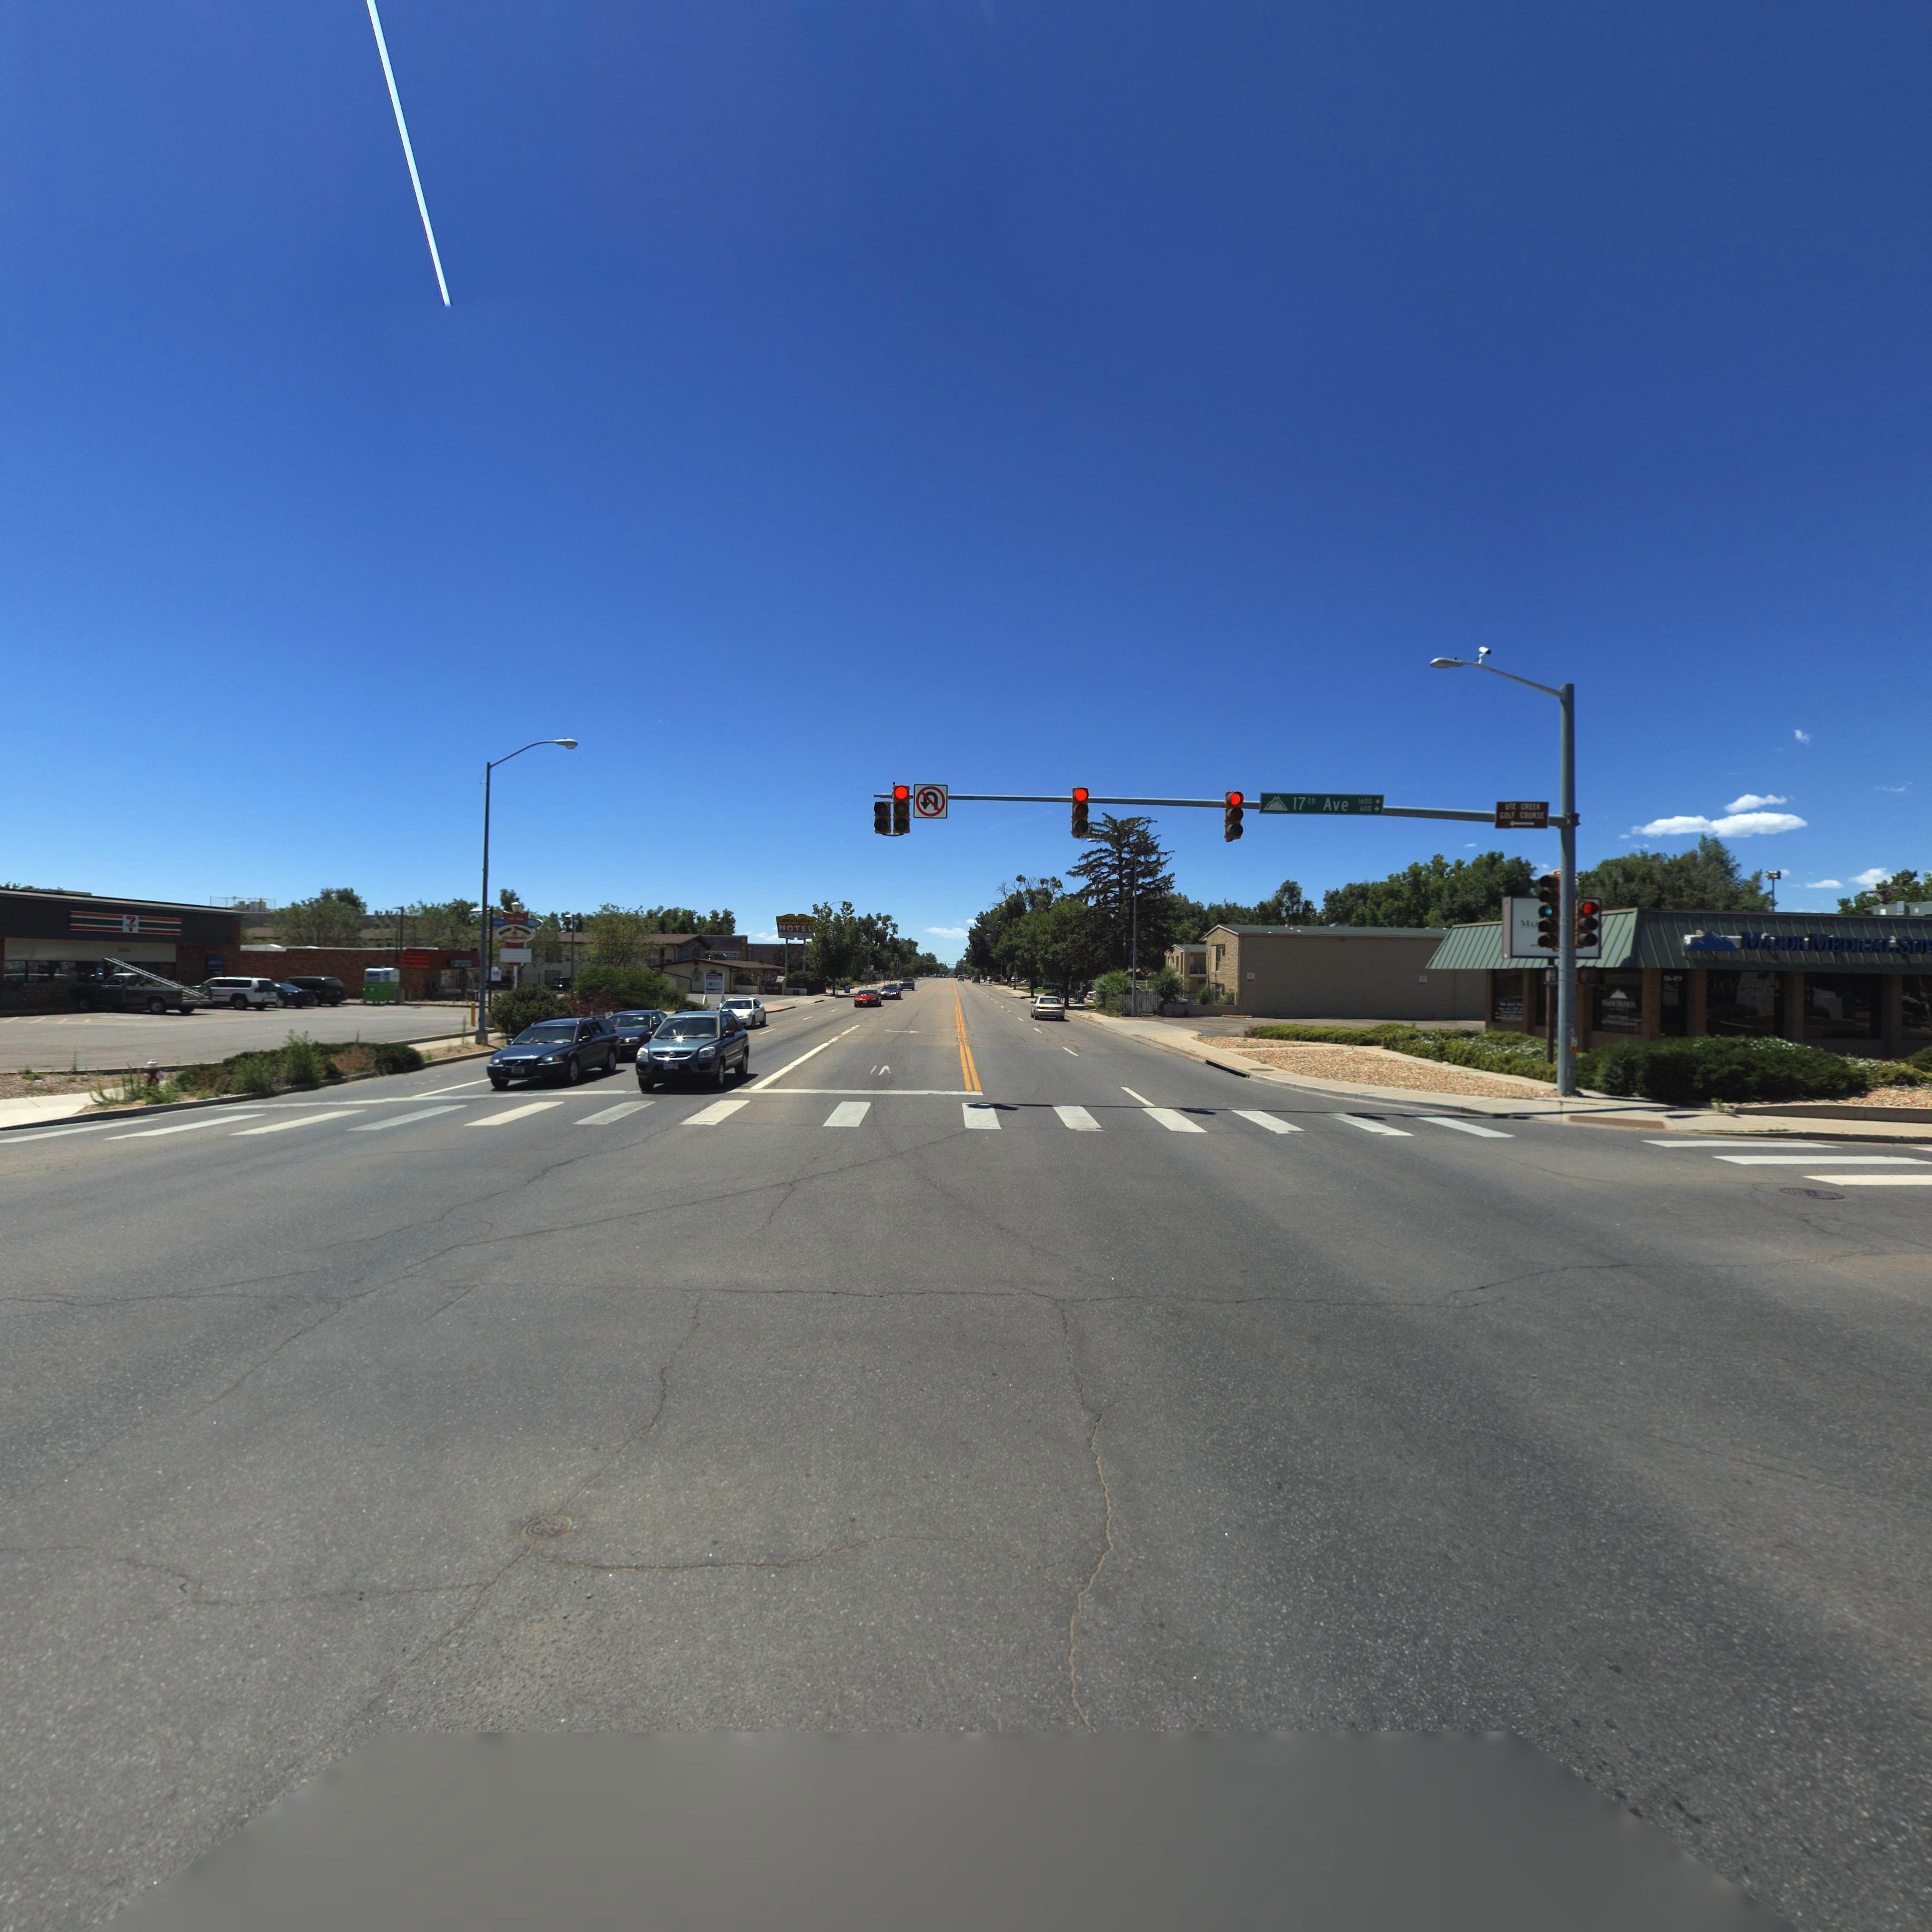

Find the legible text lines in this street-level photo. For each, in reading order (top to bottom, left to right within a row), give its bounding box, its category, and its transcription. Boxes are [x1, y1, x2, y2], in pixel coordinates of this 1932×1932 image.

[1292, 796, 1349, 811] StreetName: 17th Ave
[1358, 797, 1373, 804] StreetNumberRange: 1600
[1359, 805, 1380, 811] StreetNumberRange: 600->
[126, 915, 136, 932] BusinessName: 7
[776, 917, 814, 924] BusinessName: Lamplighter
[777, 924, 813, 932] BusinessName: MOTEL
[1737, 929, 1925, 955] BusinessName: MAJOR MEDICAL SU
[1662, 974, 1683, 982] StreetNumber: 1649